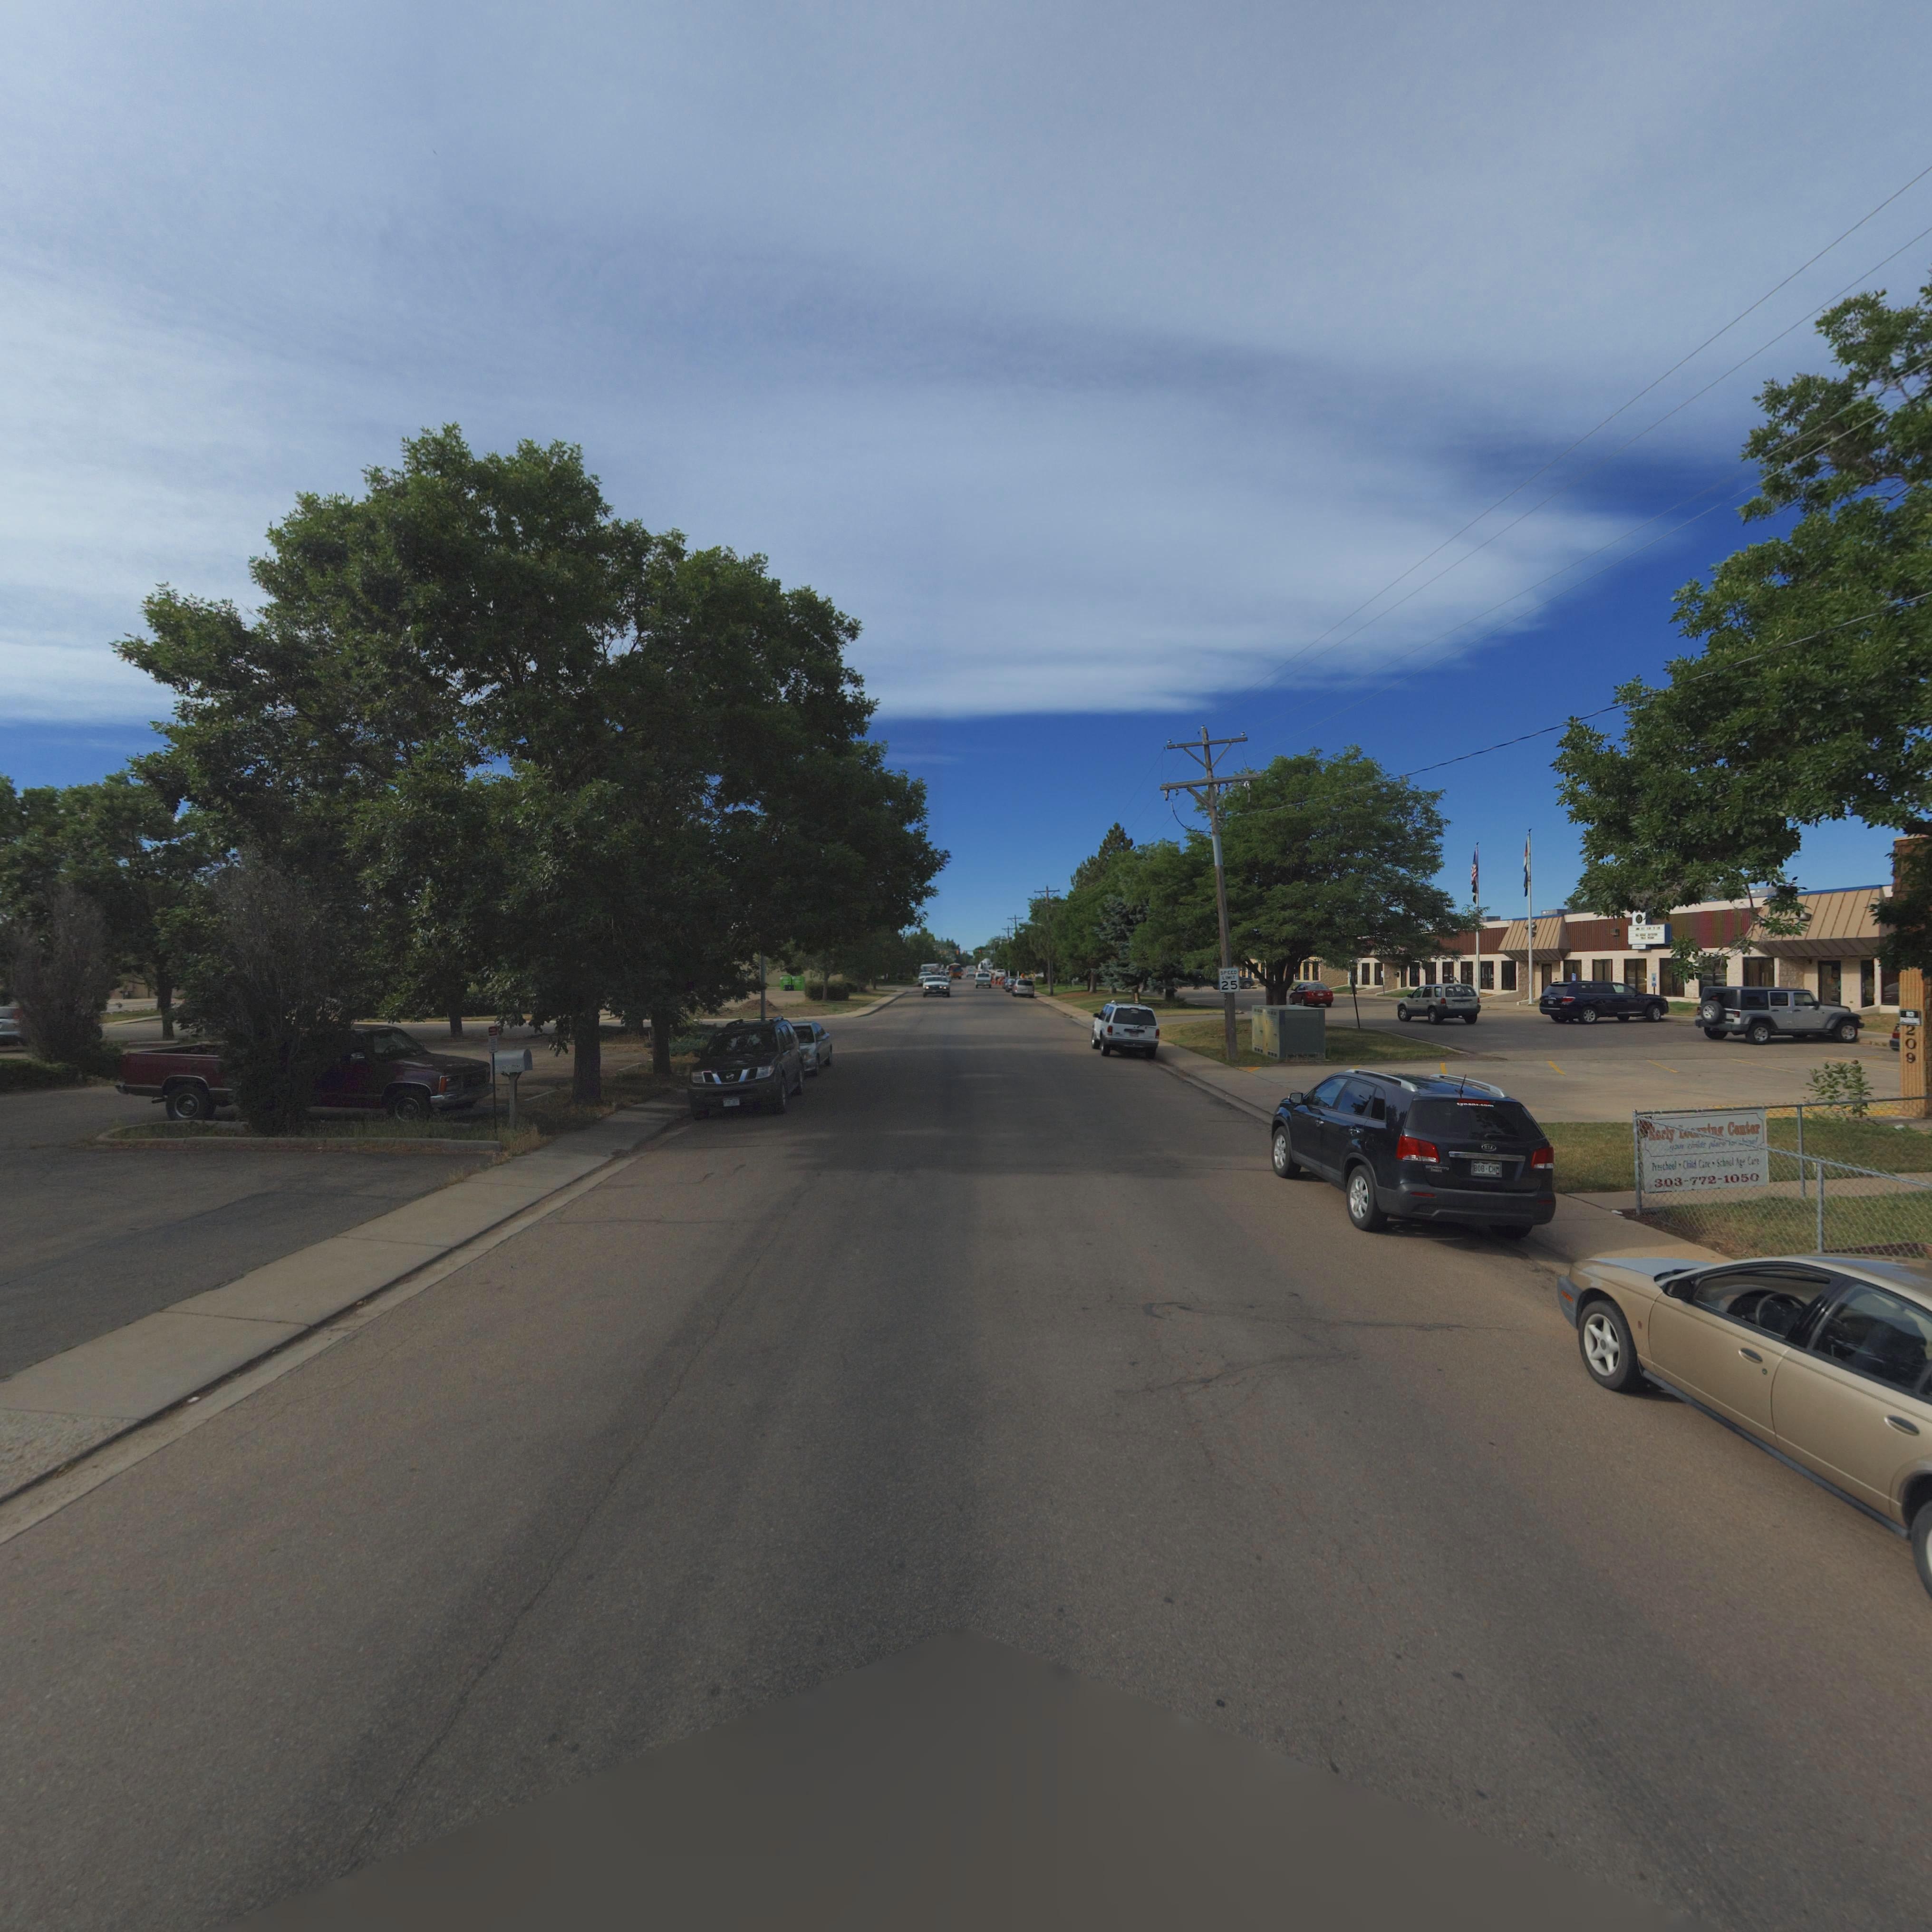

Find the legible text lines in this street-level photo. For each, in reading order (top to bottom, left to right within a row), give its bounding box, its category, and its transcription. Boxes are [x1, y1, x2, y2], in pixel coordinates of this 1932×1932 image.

[1904, 1024, 1917, 1064] StreetNumber: 209
[1647, 1120, 1761, 1144] BusinessName: Early L****ing Center